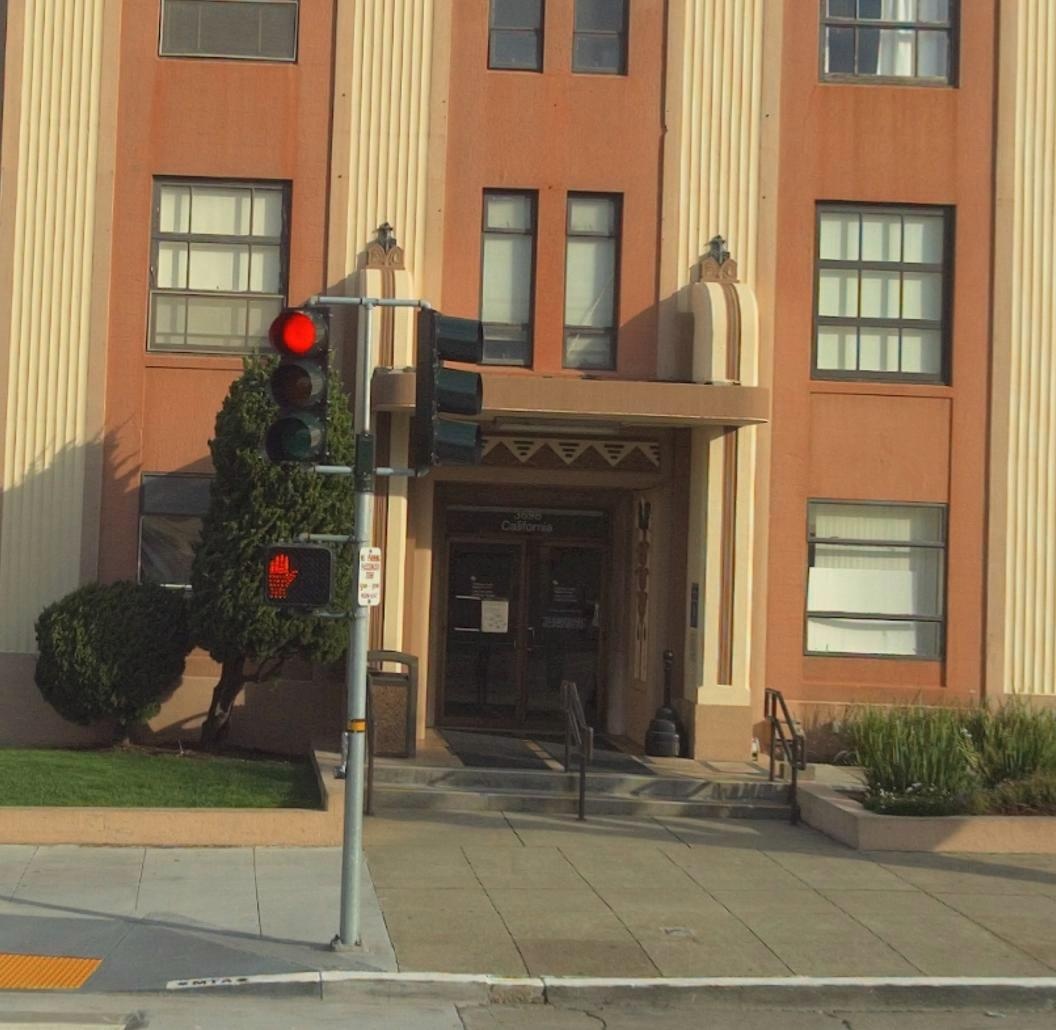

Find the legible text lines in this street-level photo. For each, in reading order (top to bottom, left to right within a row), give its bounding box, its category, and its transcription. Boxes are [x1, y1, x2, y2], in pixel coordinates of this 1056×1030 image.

[512, 507, 544, 523] StreetNumber: 3698
[498, 516, 556, 535] StreetName: California